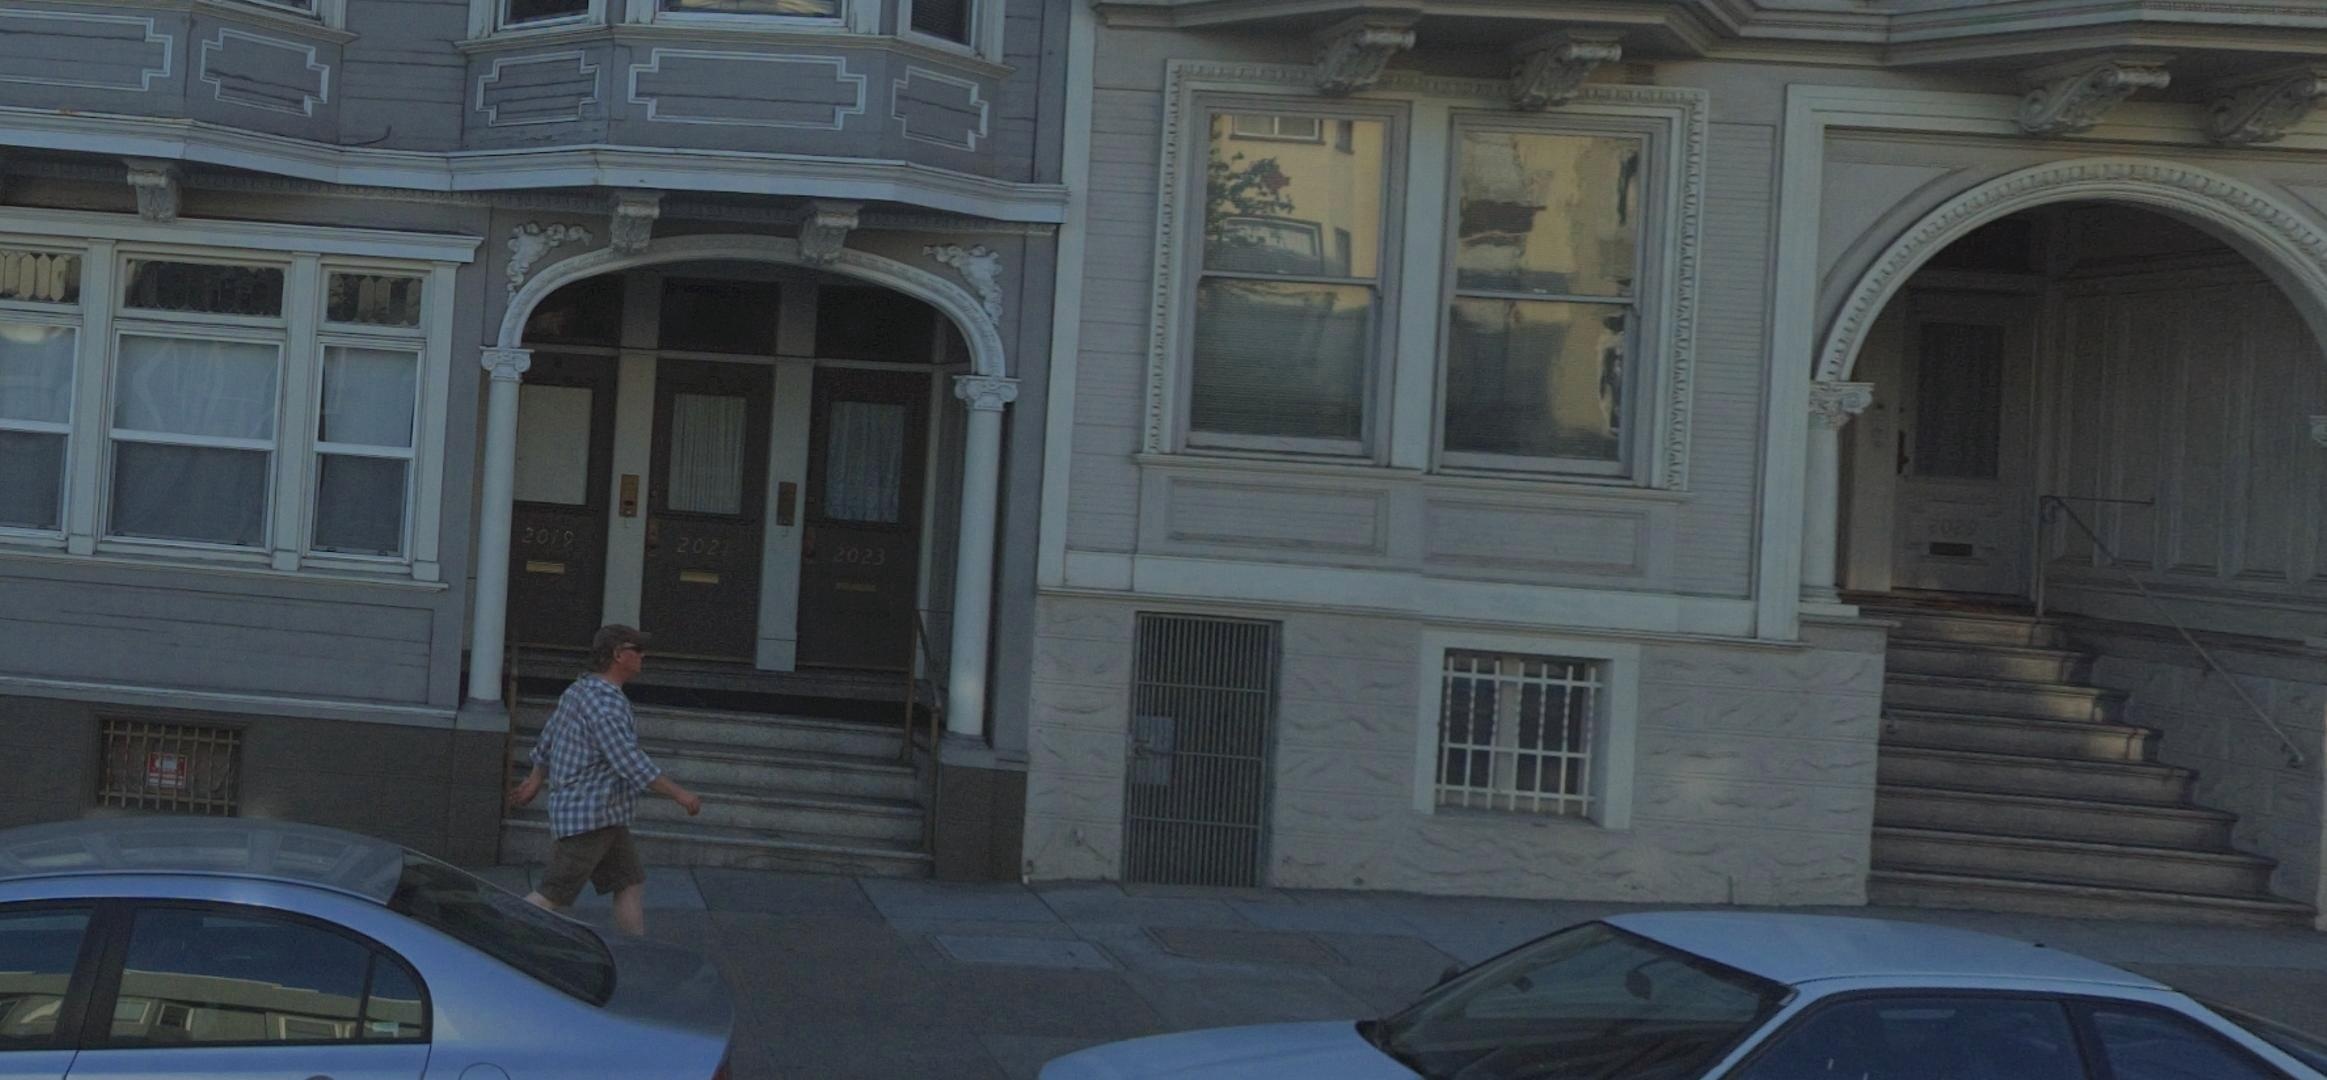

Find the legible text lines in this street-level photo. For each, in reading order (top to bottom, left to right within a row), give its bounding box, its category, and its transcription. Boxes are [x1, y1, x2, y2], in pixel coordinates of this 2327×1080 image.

[517, 524, 578, 551] StreetNumber: 2019
[673, 534, 735, 559] StreetNumber: 2021
[830, 544, 887, 568] StreetNumber: 2023
[1924, 514, 1983, 539] StreetNumber: 2029